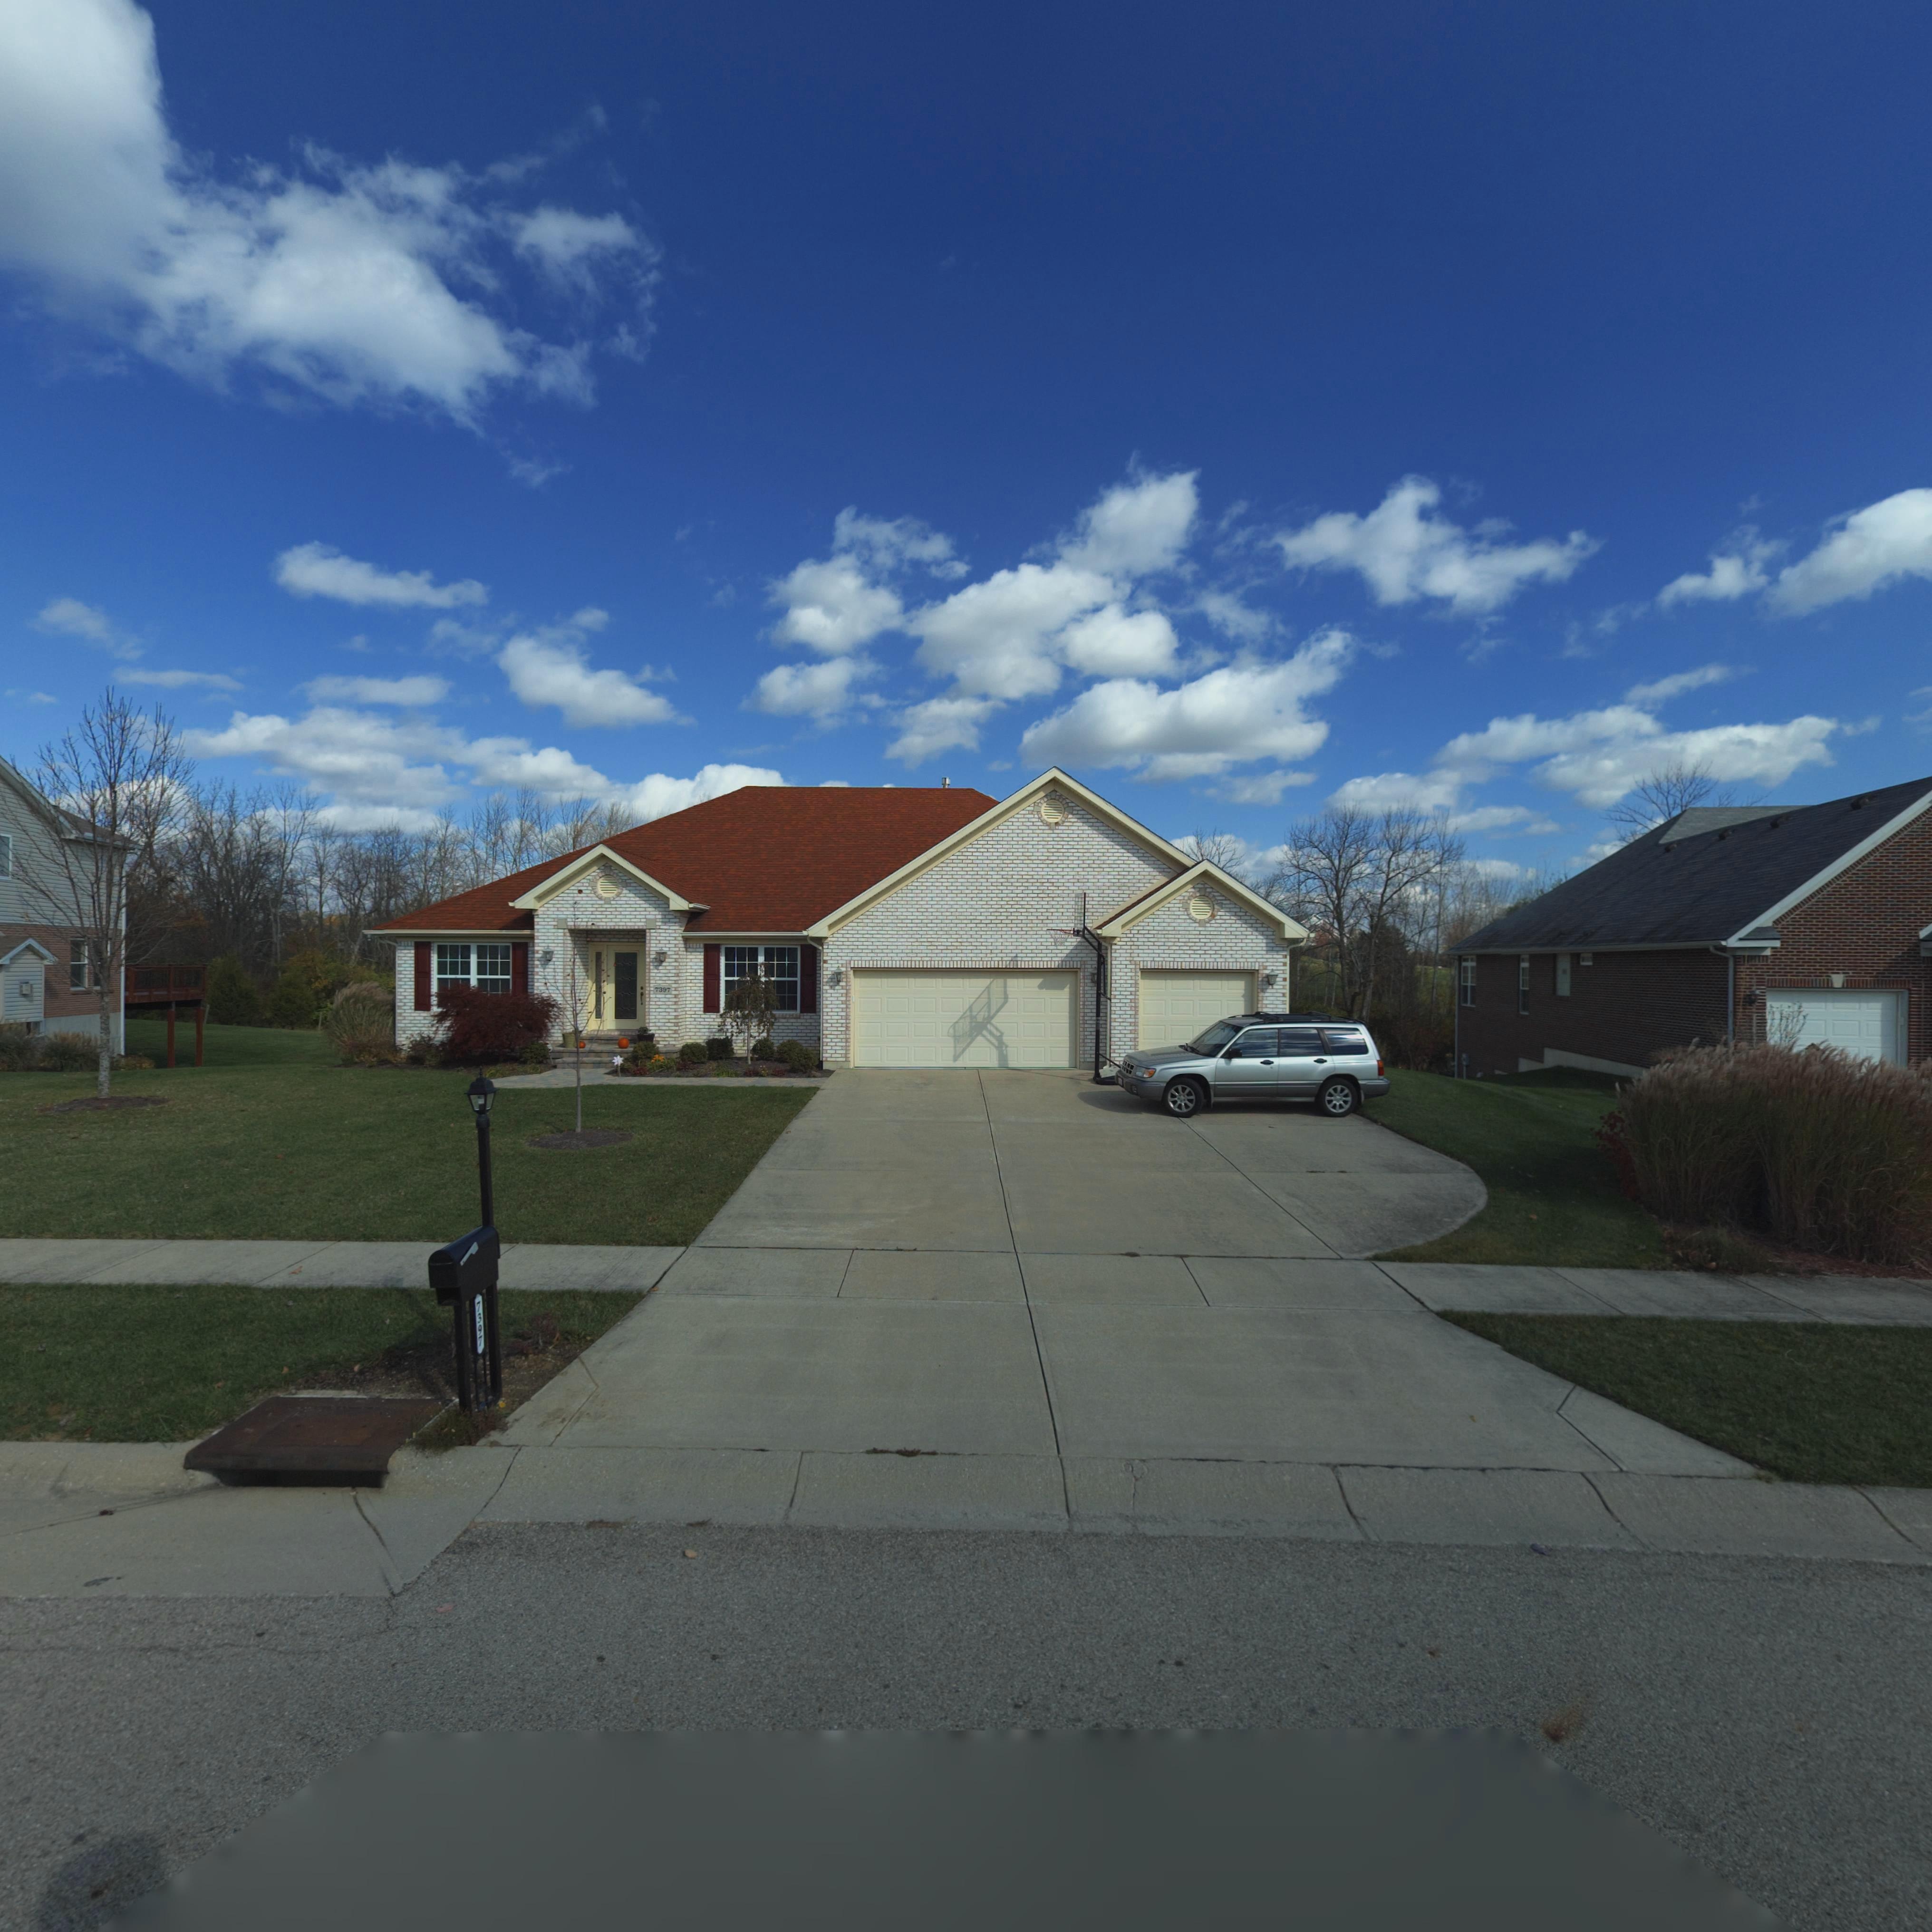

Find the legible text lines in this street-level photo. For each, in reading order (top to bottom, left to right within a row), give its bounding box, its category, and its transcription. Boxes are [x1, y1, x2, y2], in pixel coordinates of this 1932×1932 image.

[654, 986, 672, 993] StreetNumber: 7397
[475, 1299, 483, 1348] StreetNumber: 7397